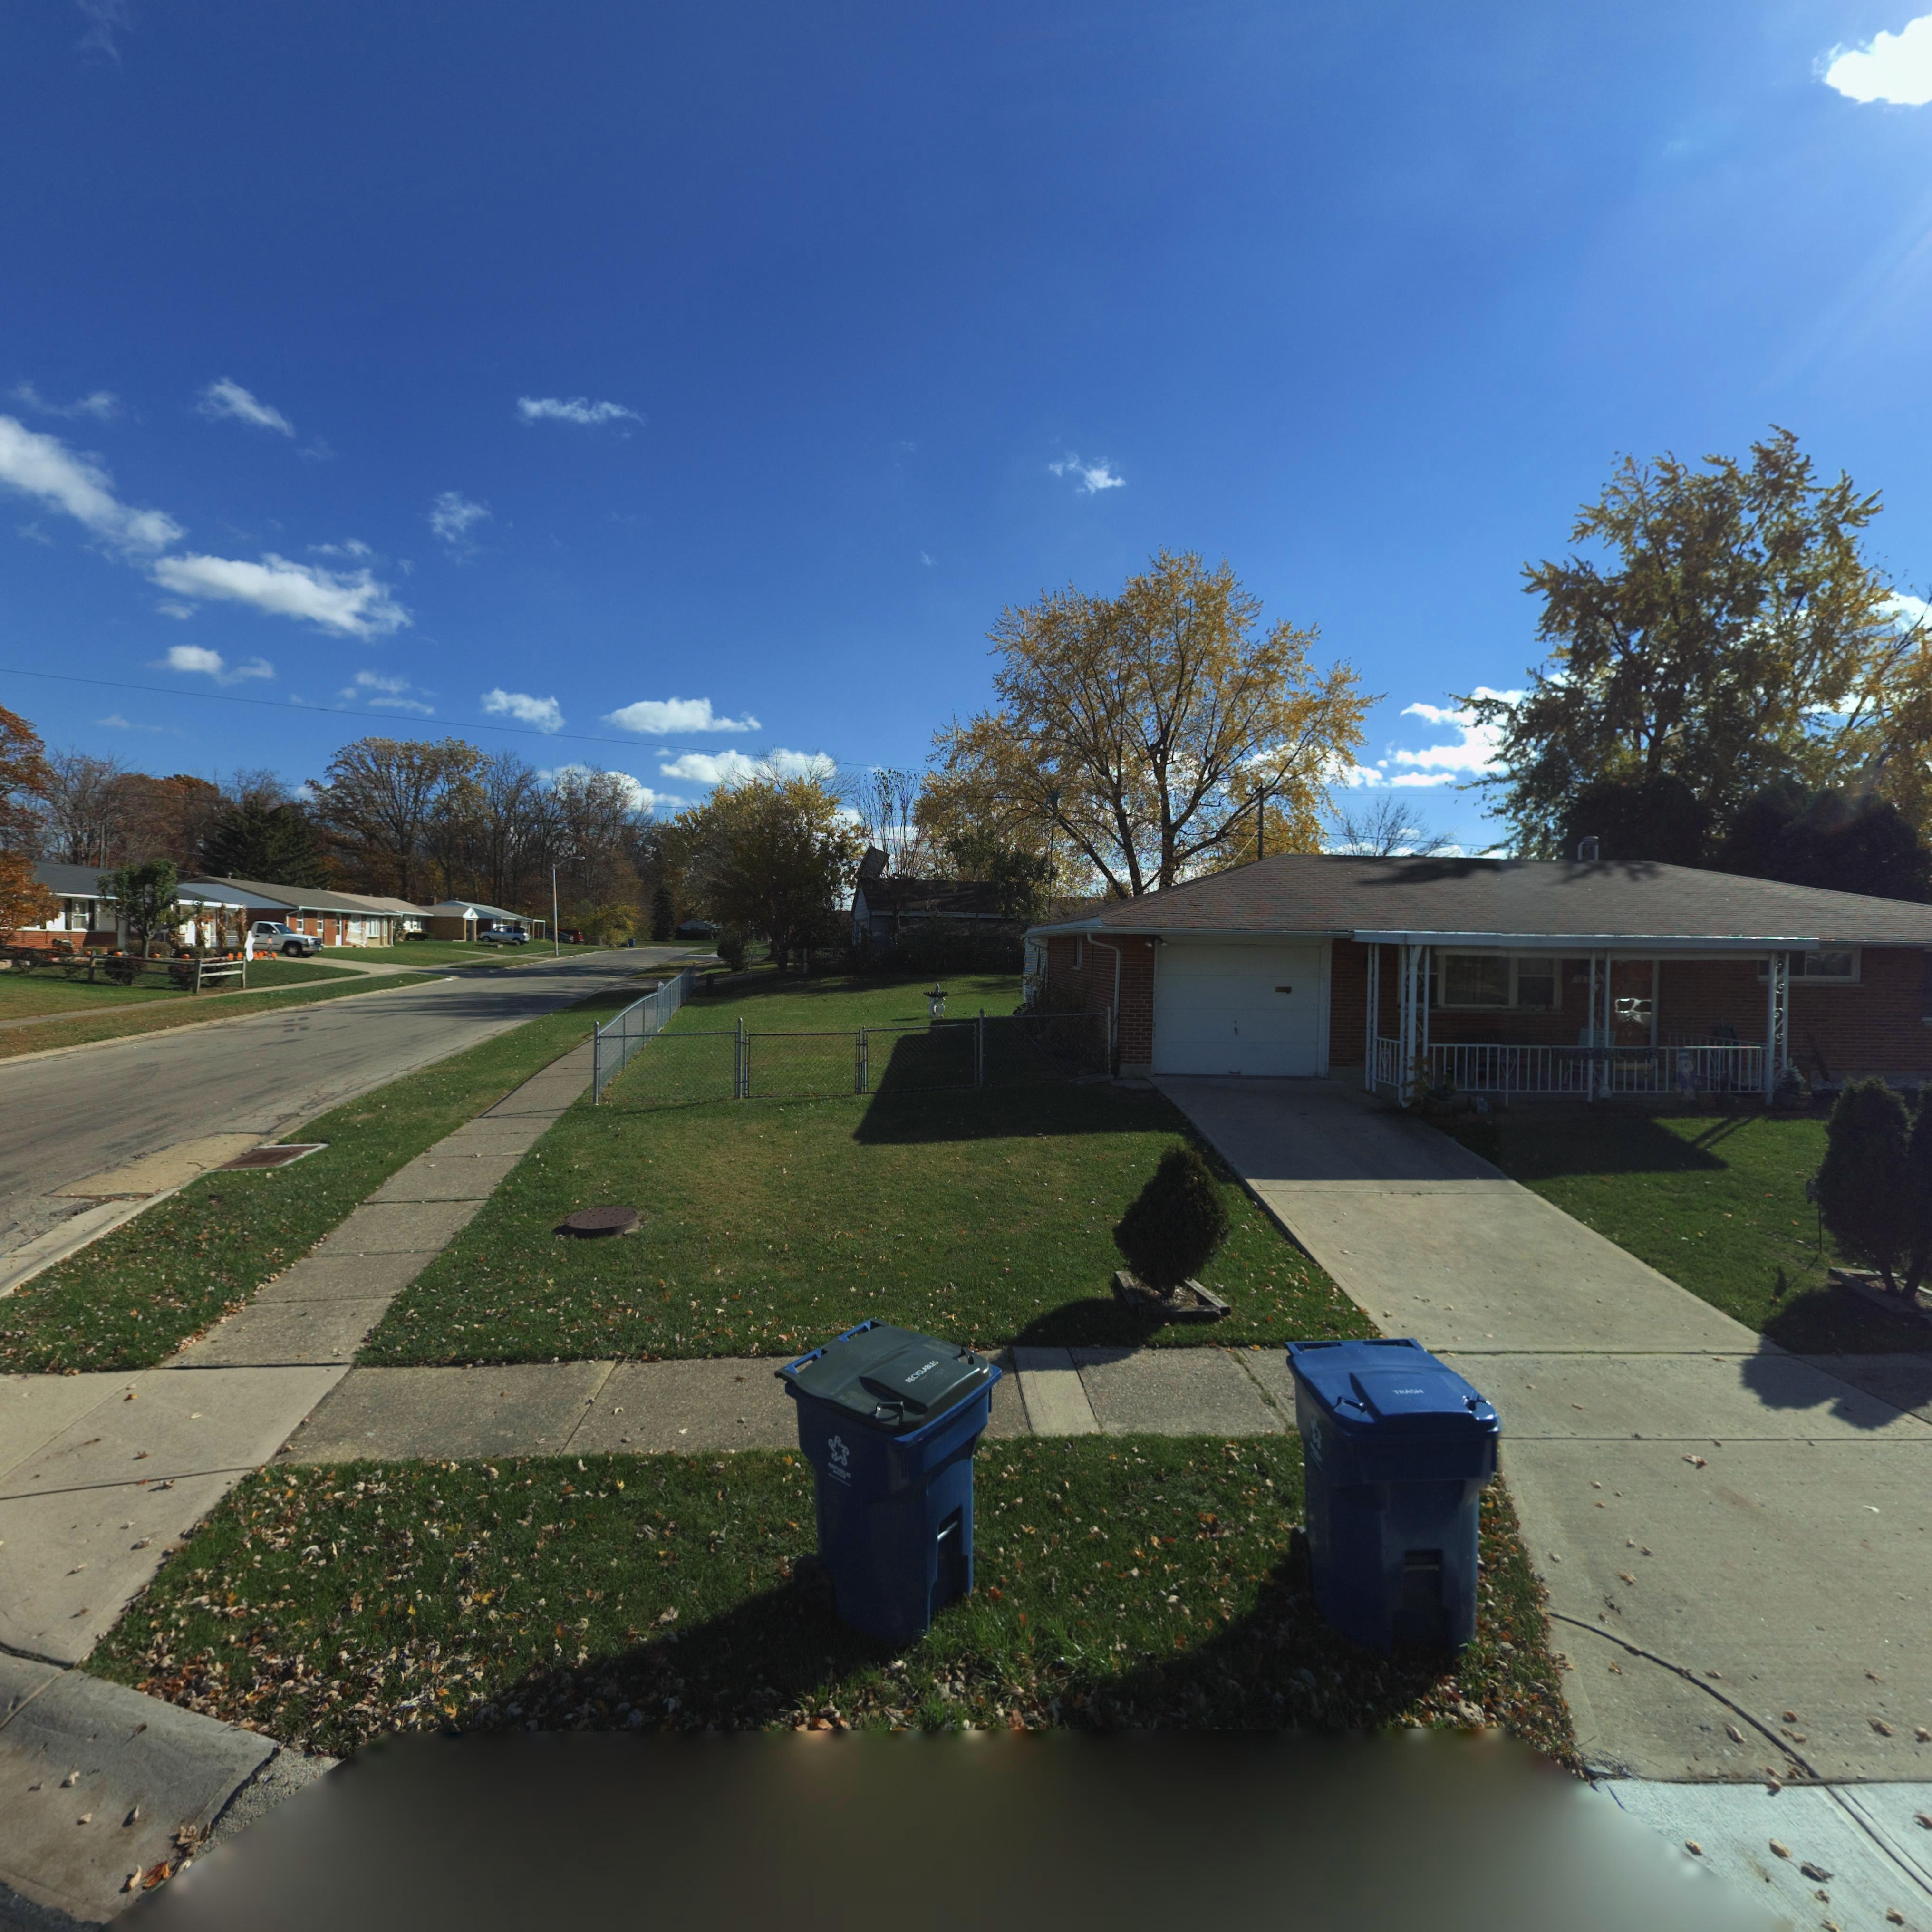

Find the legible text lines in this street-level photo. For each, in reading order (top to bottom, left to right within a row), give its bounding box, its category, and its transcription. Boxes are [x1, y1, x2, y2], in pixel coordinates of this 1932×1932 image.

[1575, 975, 1585, 983] StreetNumber: 78